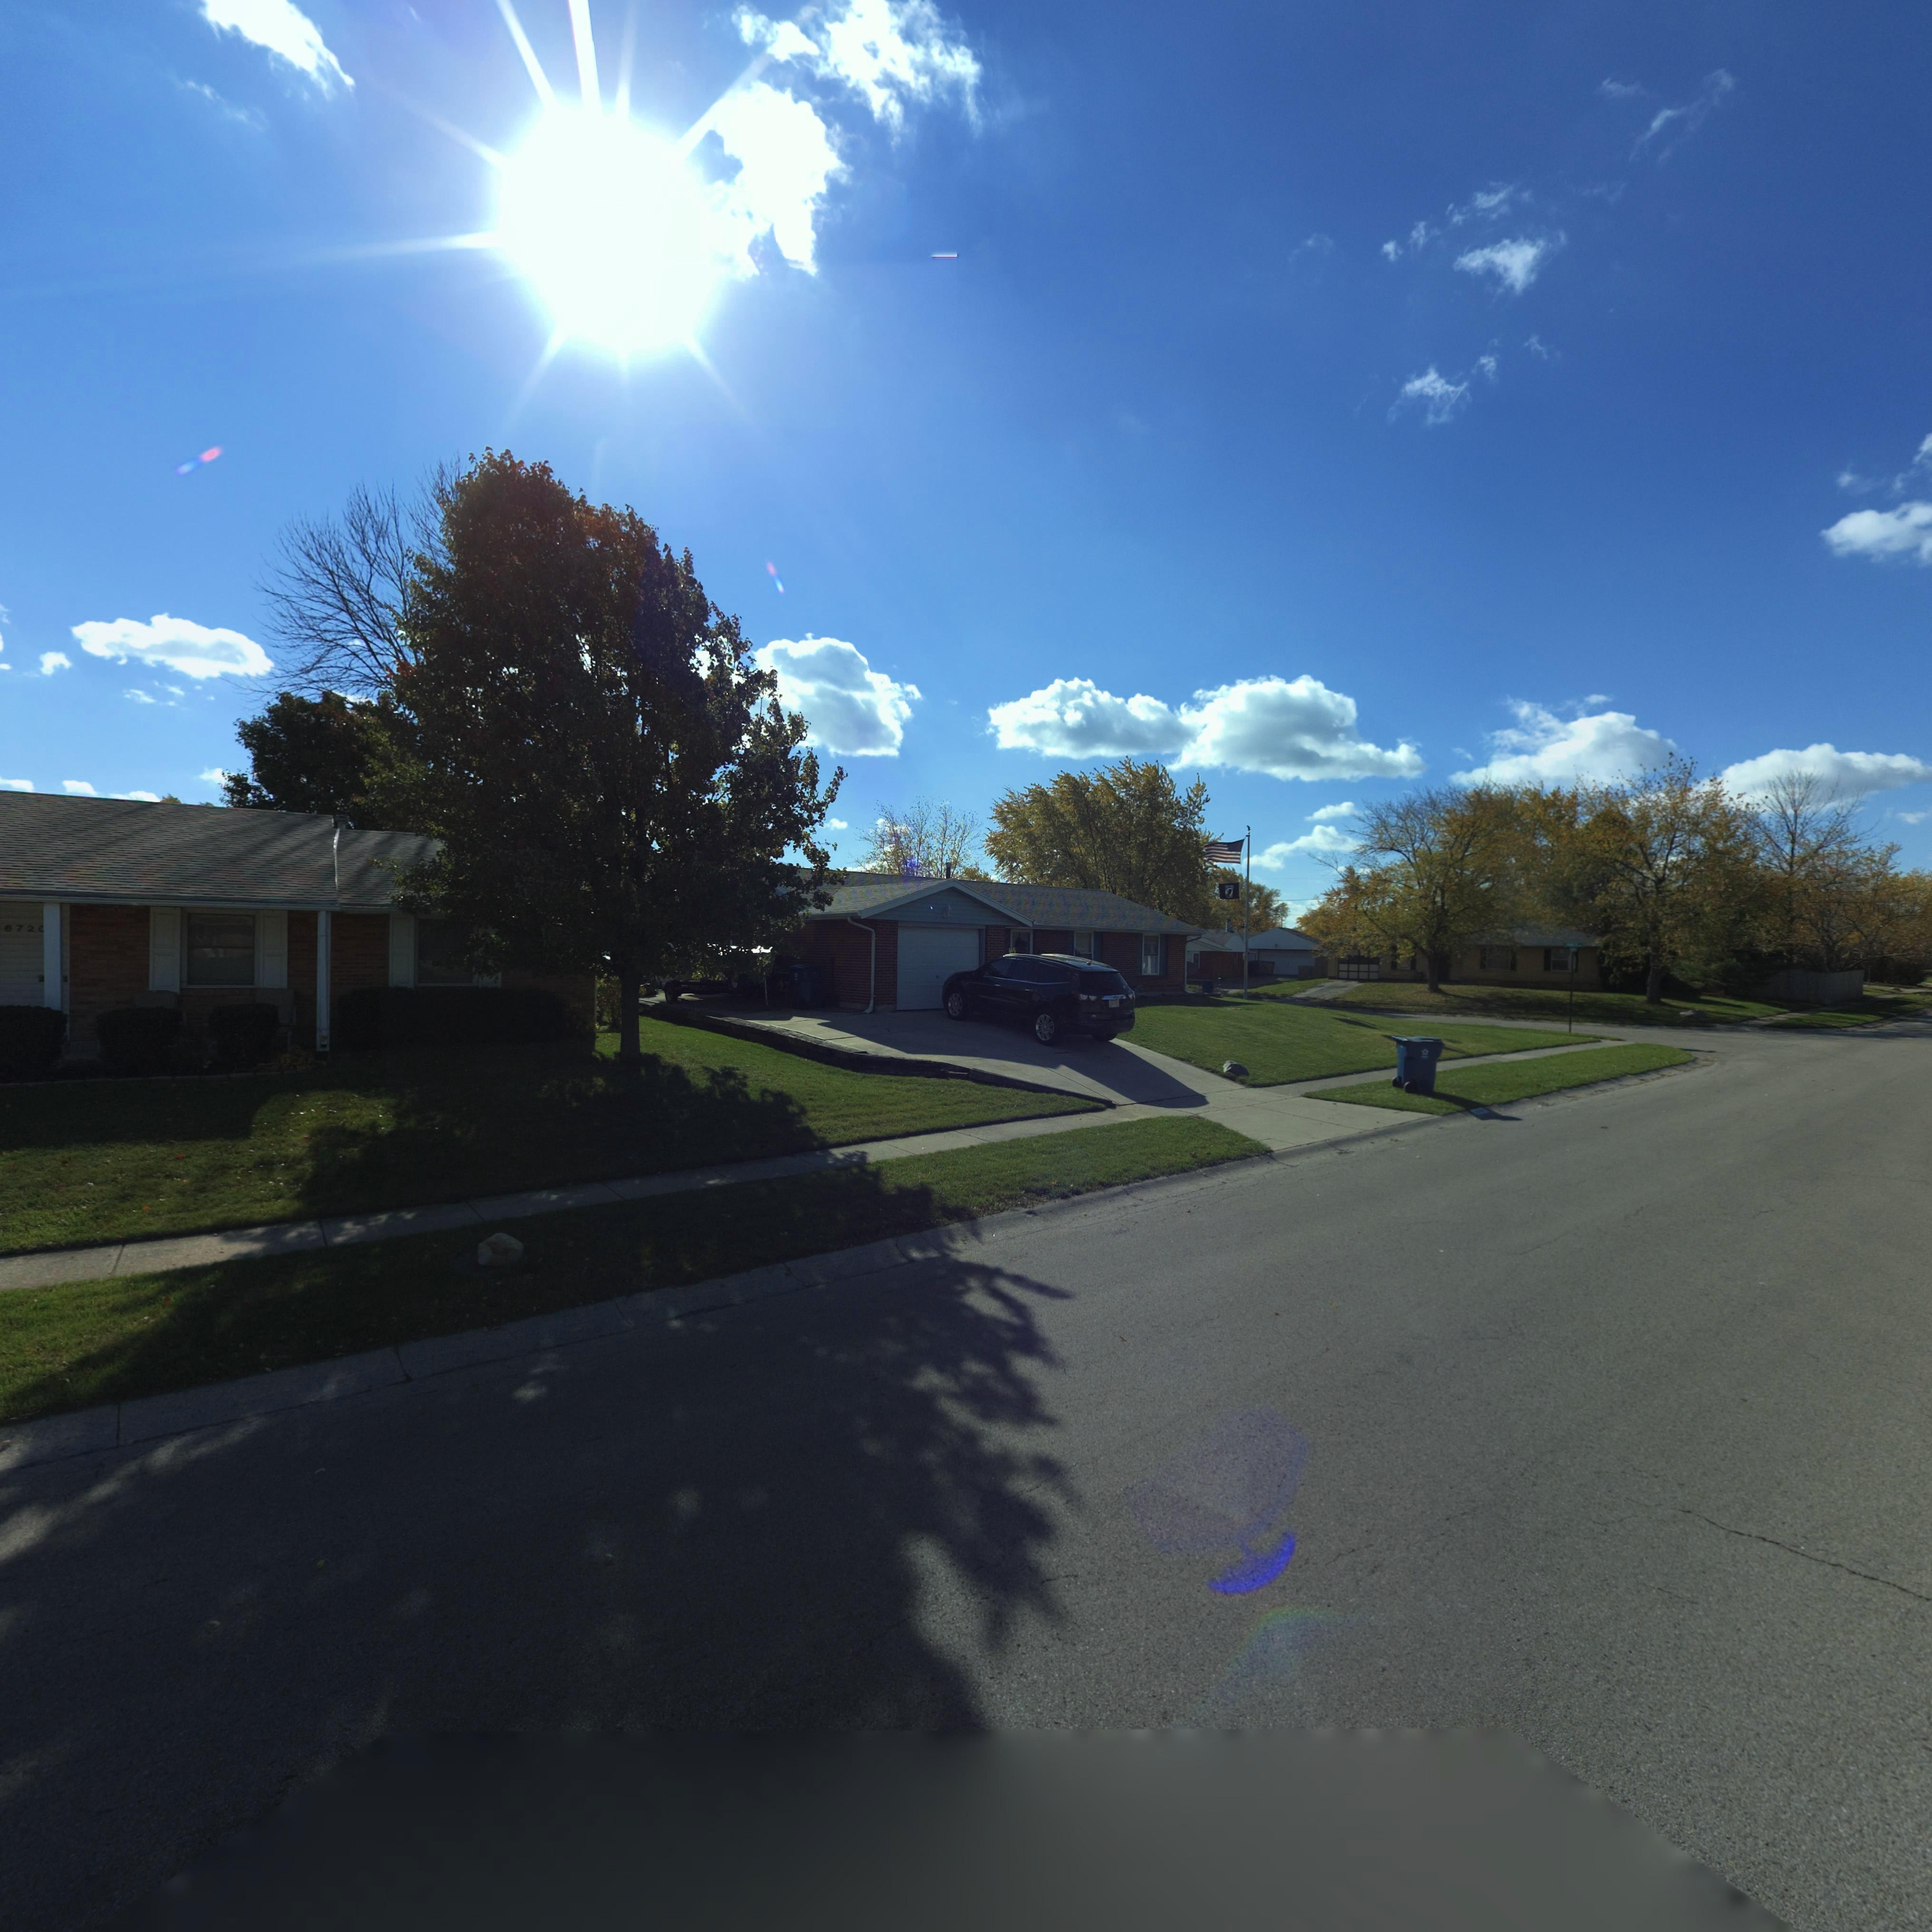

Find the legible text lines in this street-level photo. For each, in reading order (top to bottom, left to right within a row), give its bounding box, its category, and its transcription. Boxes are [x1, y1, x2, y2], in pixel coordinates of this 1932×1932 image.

[3, 923, 36, 933] StreetNumber: *72